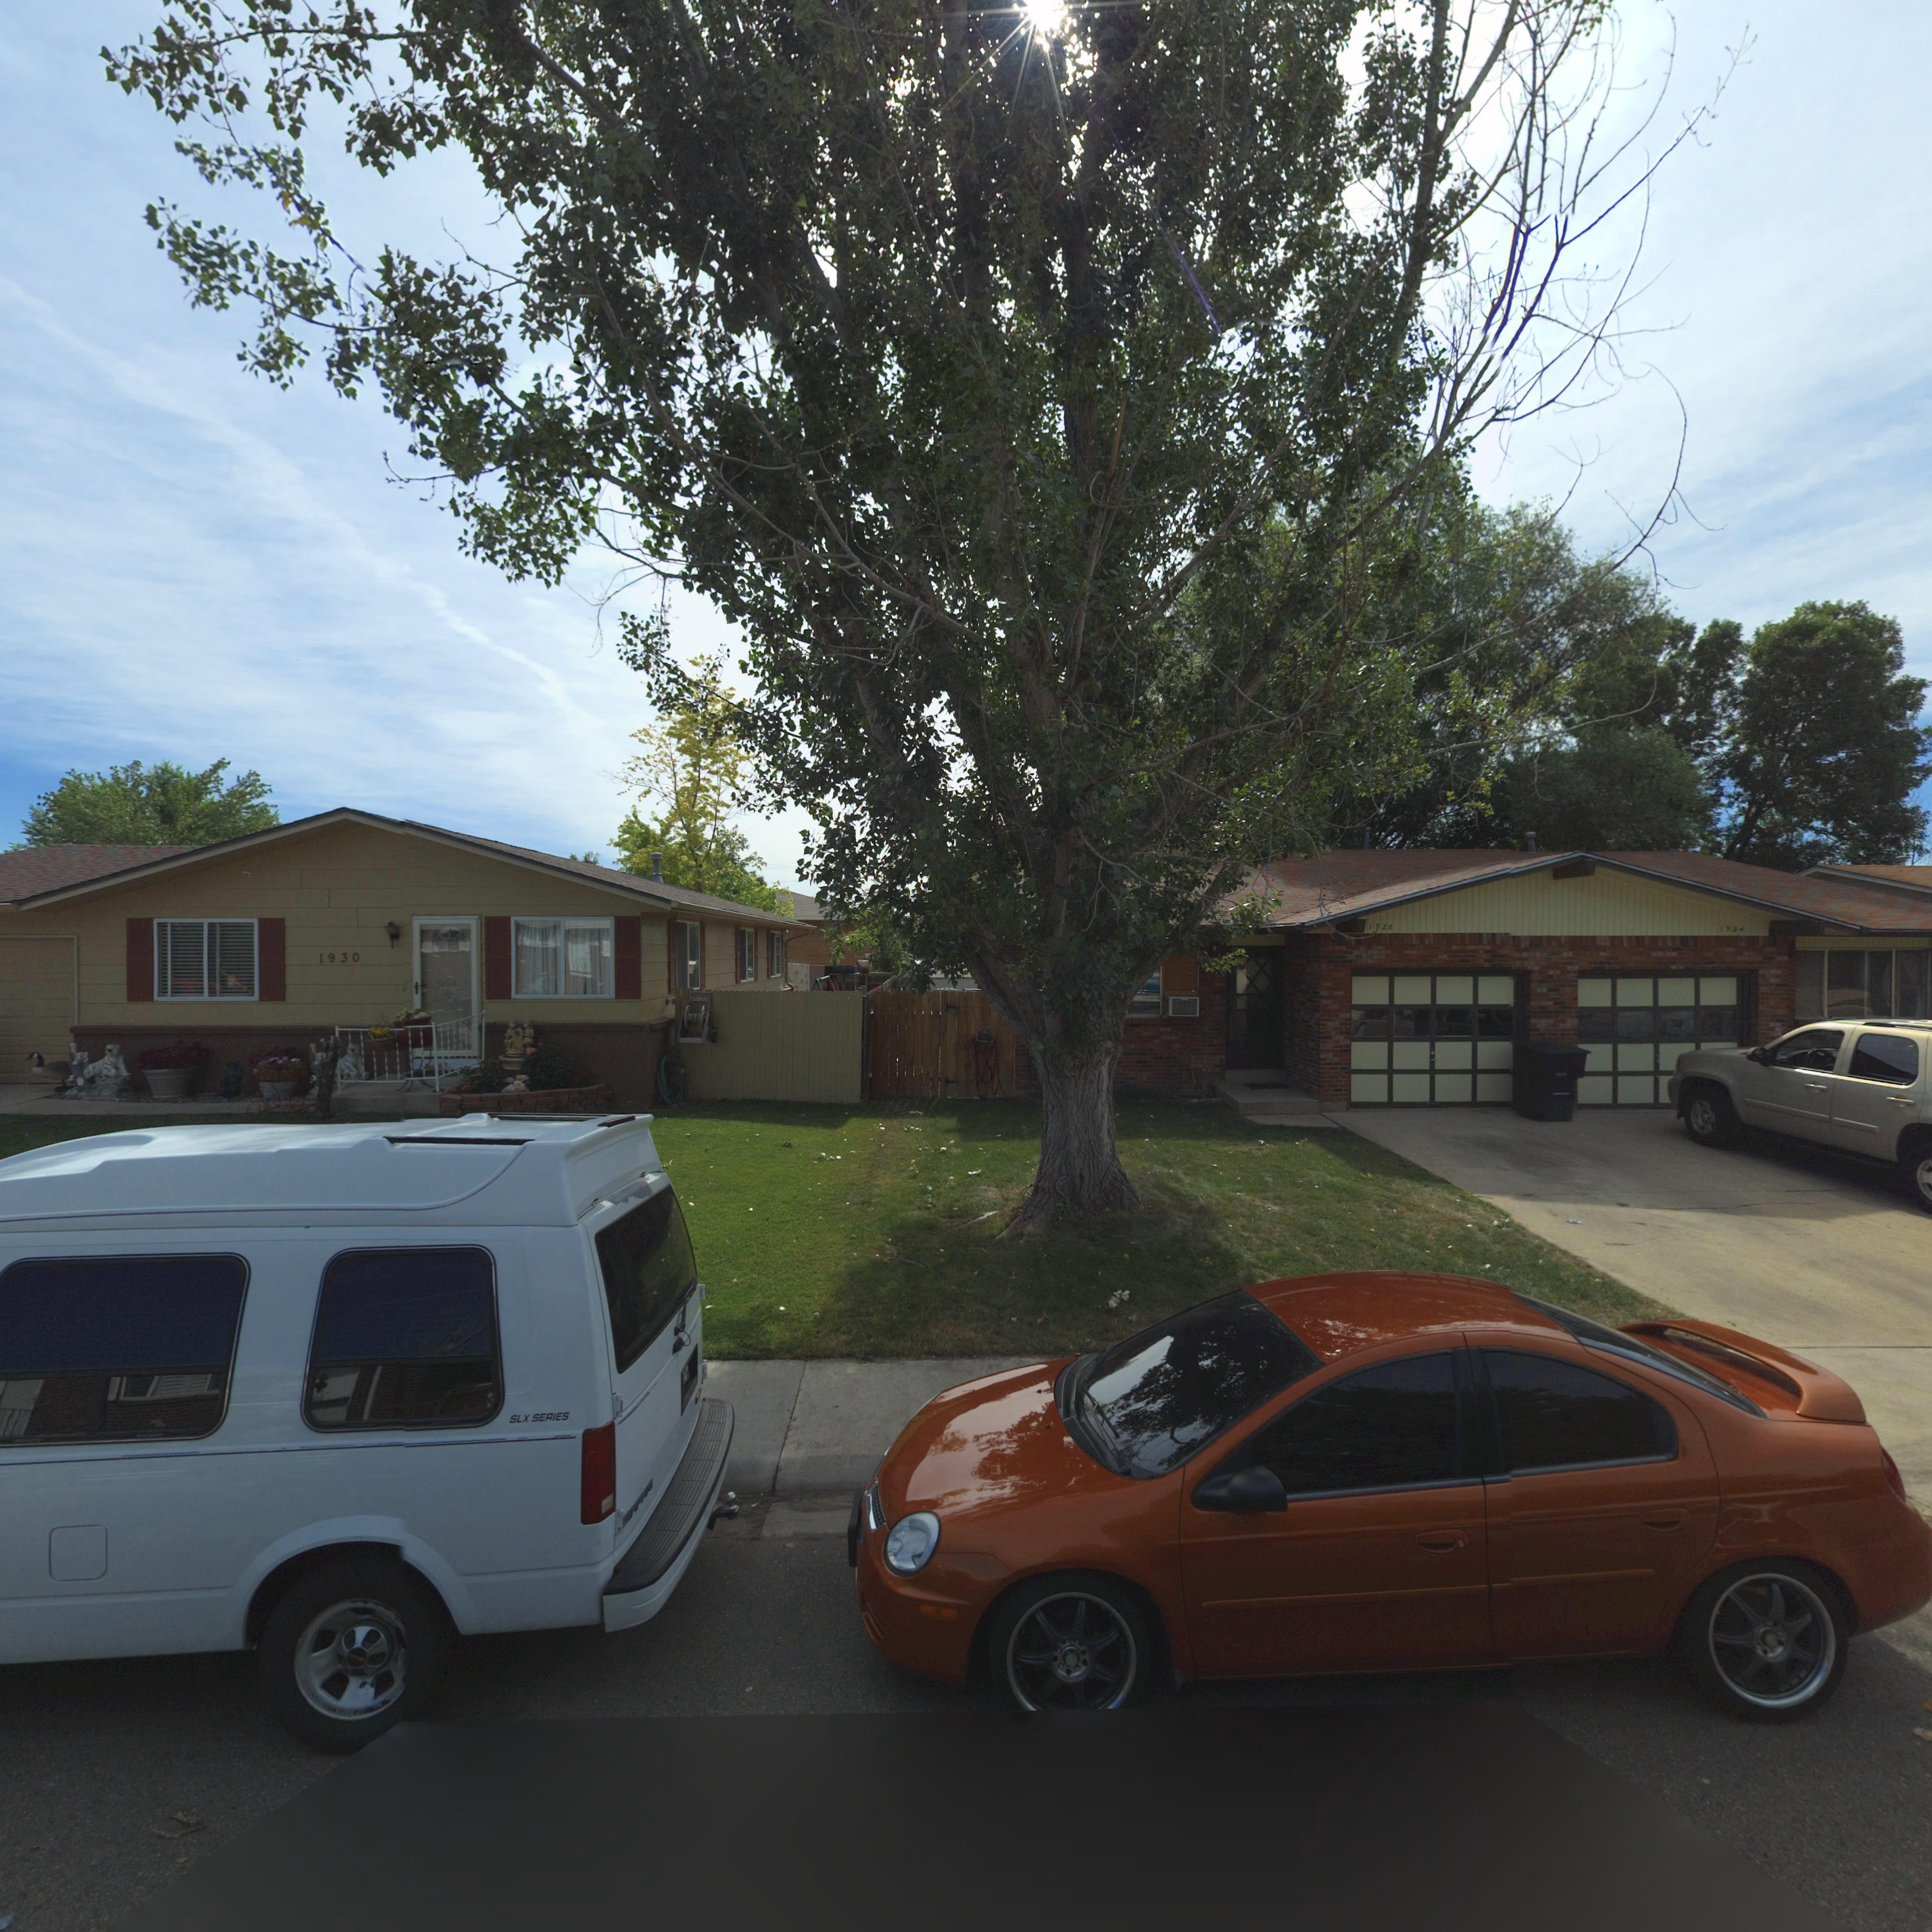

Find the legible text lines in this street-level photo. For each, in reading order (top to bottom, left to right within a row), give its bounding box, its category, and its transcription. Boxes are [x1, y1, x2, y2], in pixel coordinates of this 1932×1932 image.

[1368, 923, 1393, 930] StreetNumber: 1926
[1719, 925, 1745, 932] StreetNumber: 1924
[319, 951, 360, 964] StreetNumber: 1930